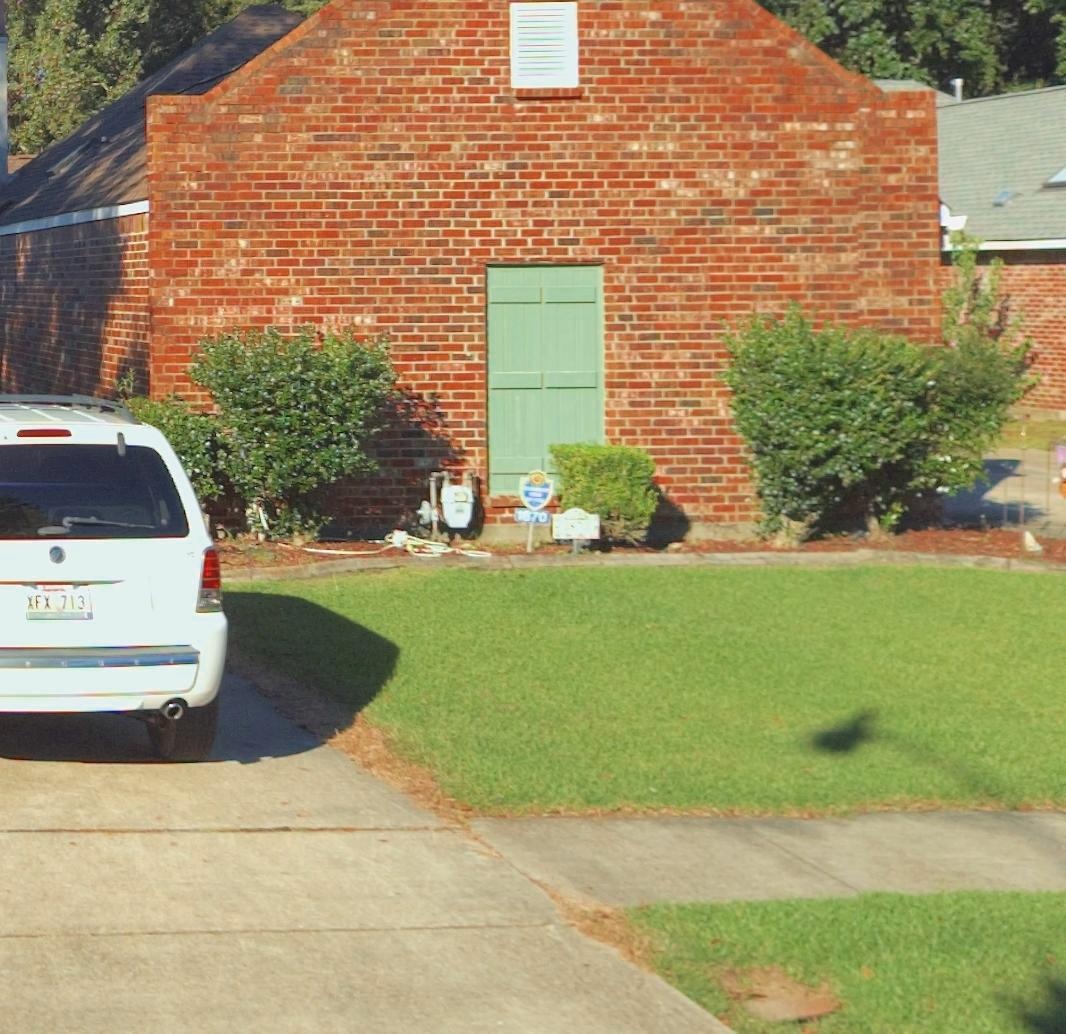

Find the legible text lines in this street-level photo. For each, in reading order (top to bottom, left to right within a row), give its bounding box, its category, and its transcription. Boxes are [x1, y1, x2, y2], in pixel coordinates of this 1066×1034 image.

[514, 508, 550, 524] StreetNumber: 1*70
[25, 592, 87, 612] None: XFX 713